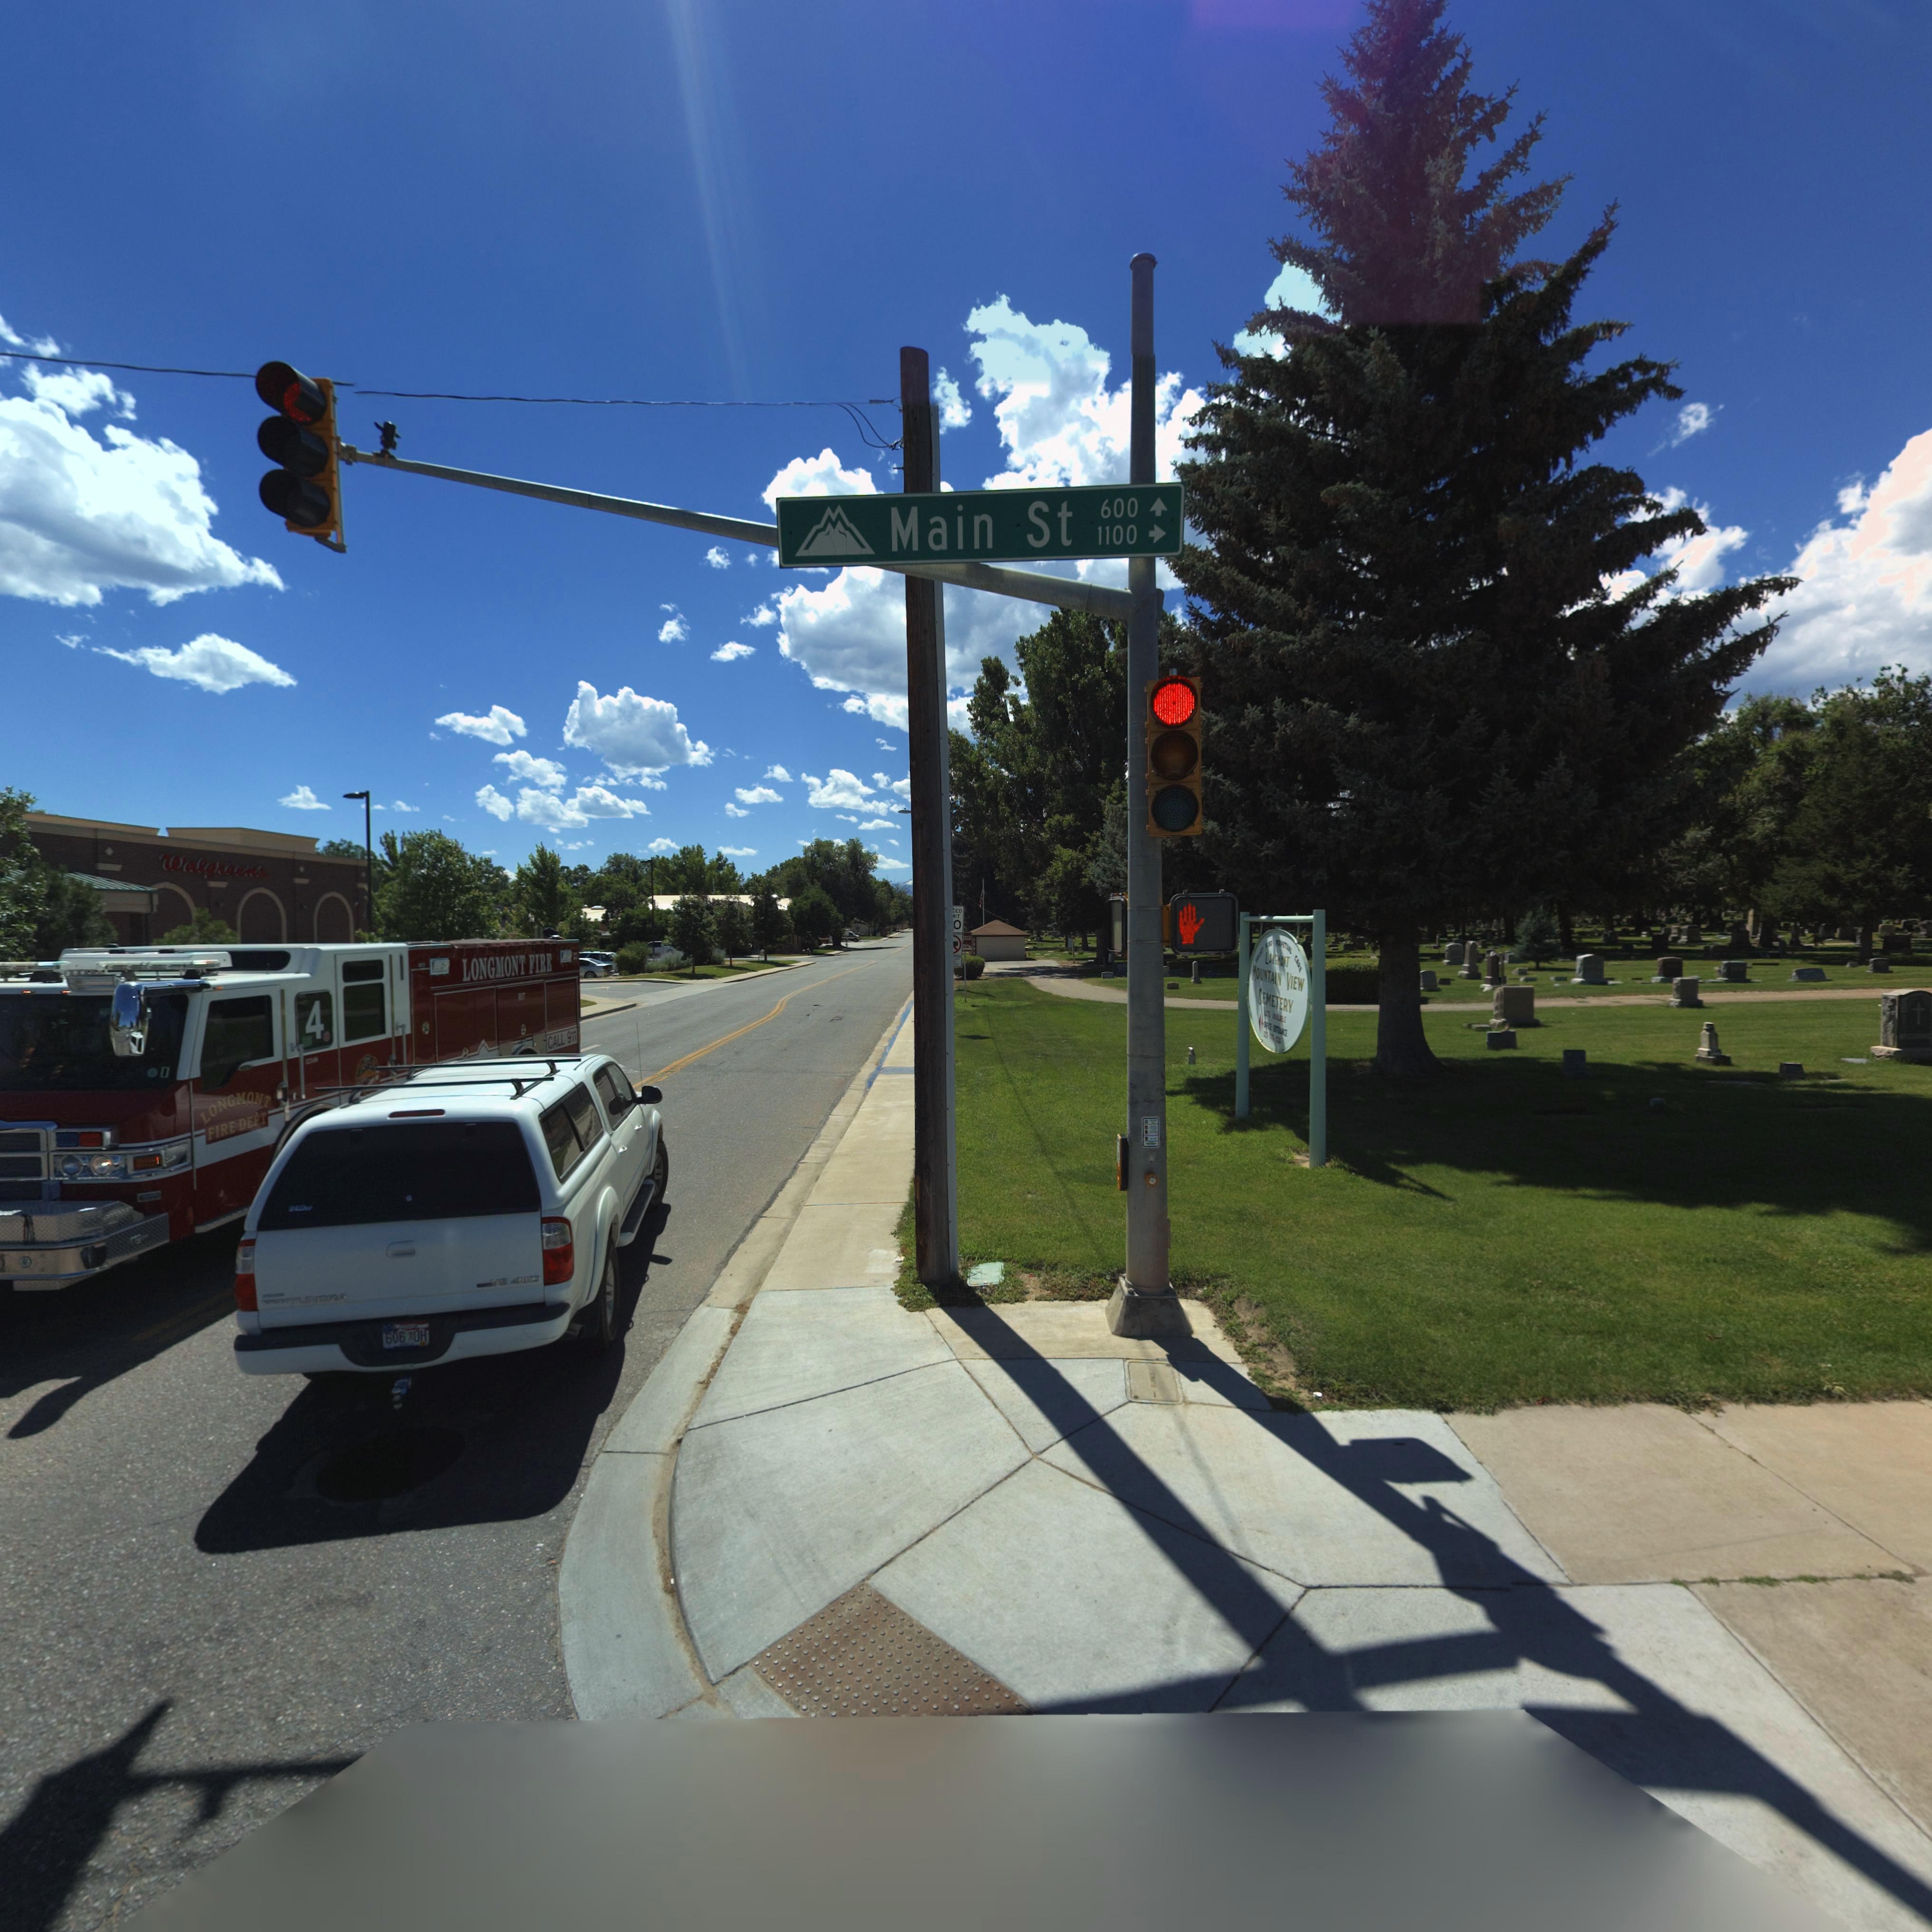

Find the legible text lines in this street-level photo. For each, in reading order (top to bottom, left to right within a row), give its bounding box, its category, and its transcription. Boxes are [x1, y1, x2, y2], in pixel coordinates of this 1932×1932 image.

[1100, 497, 1138, 519] StreetNumberRange: 600
[891, 500, 1073, 552] StreetName: Main St
[1097, 522, 1166, 546] StreetNumberRange: 1100 ->
[159, 854, 268, 880] BusinessName: Walgreens
[1265, 951, 1291, 968] BusinessName: L******T
[1252, 964, 1305, 992] BusinessName: MOUNTAIN VIEW
[1257, 987, 1294, 1014] BusinessName: *EMETERY